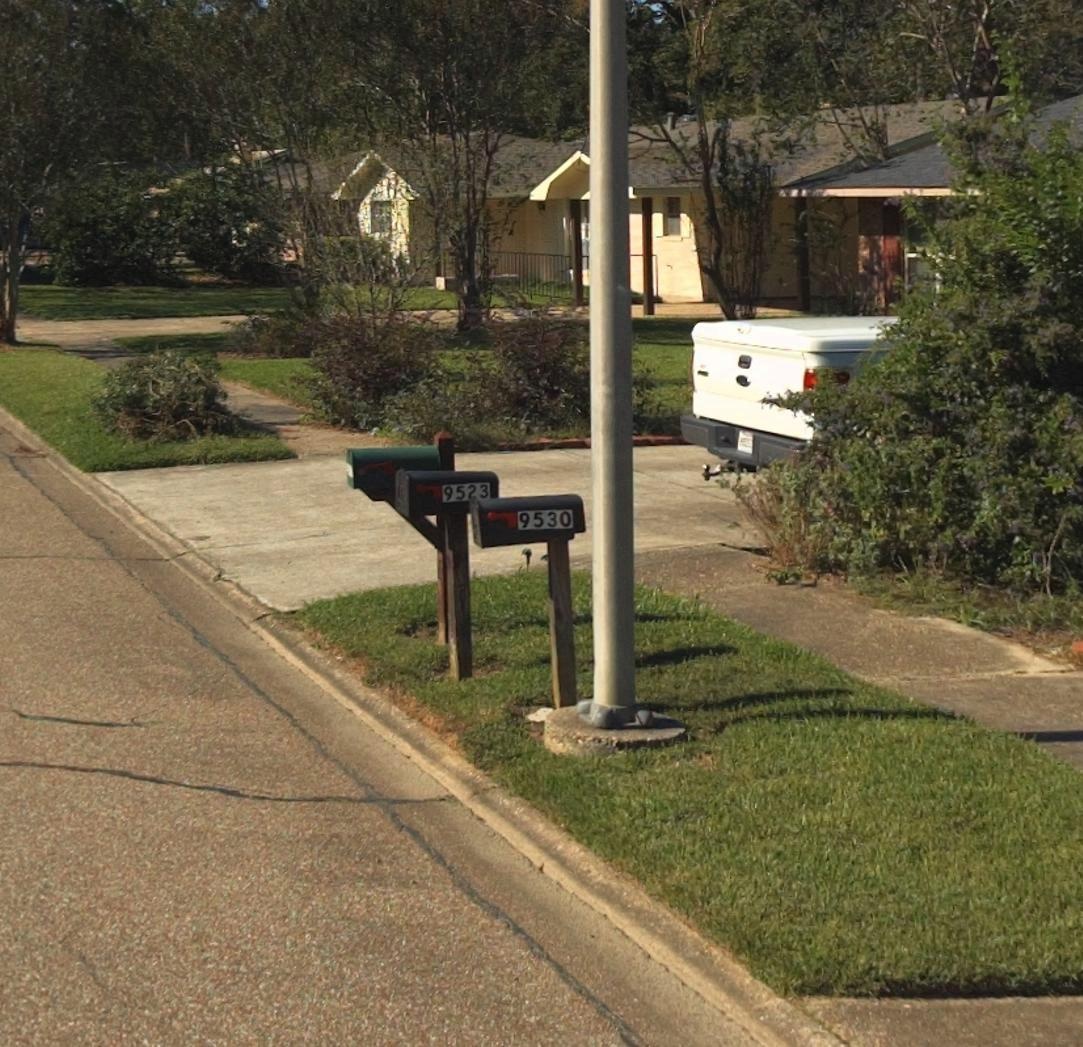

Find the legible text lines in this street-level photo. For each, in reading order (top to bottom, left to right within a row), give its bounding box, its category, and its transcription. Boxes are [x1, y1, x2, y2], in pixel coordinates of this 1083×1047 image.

[443, 484, 489, 502] StreetNumber: 9523
[519, 510, 572, 529] StreetNumber: 9530